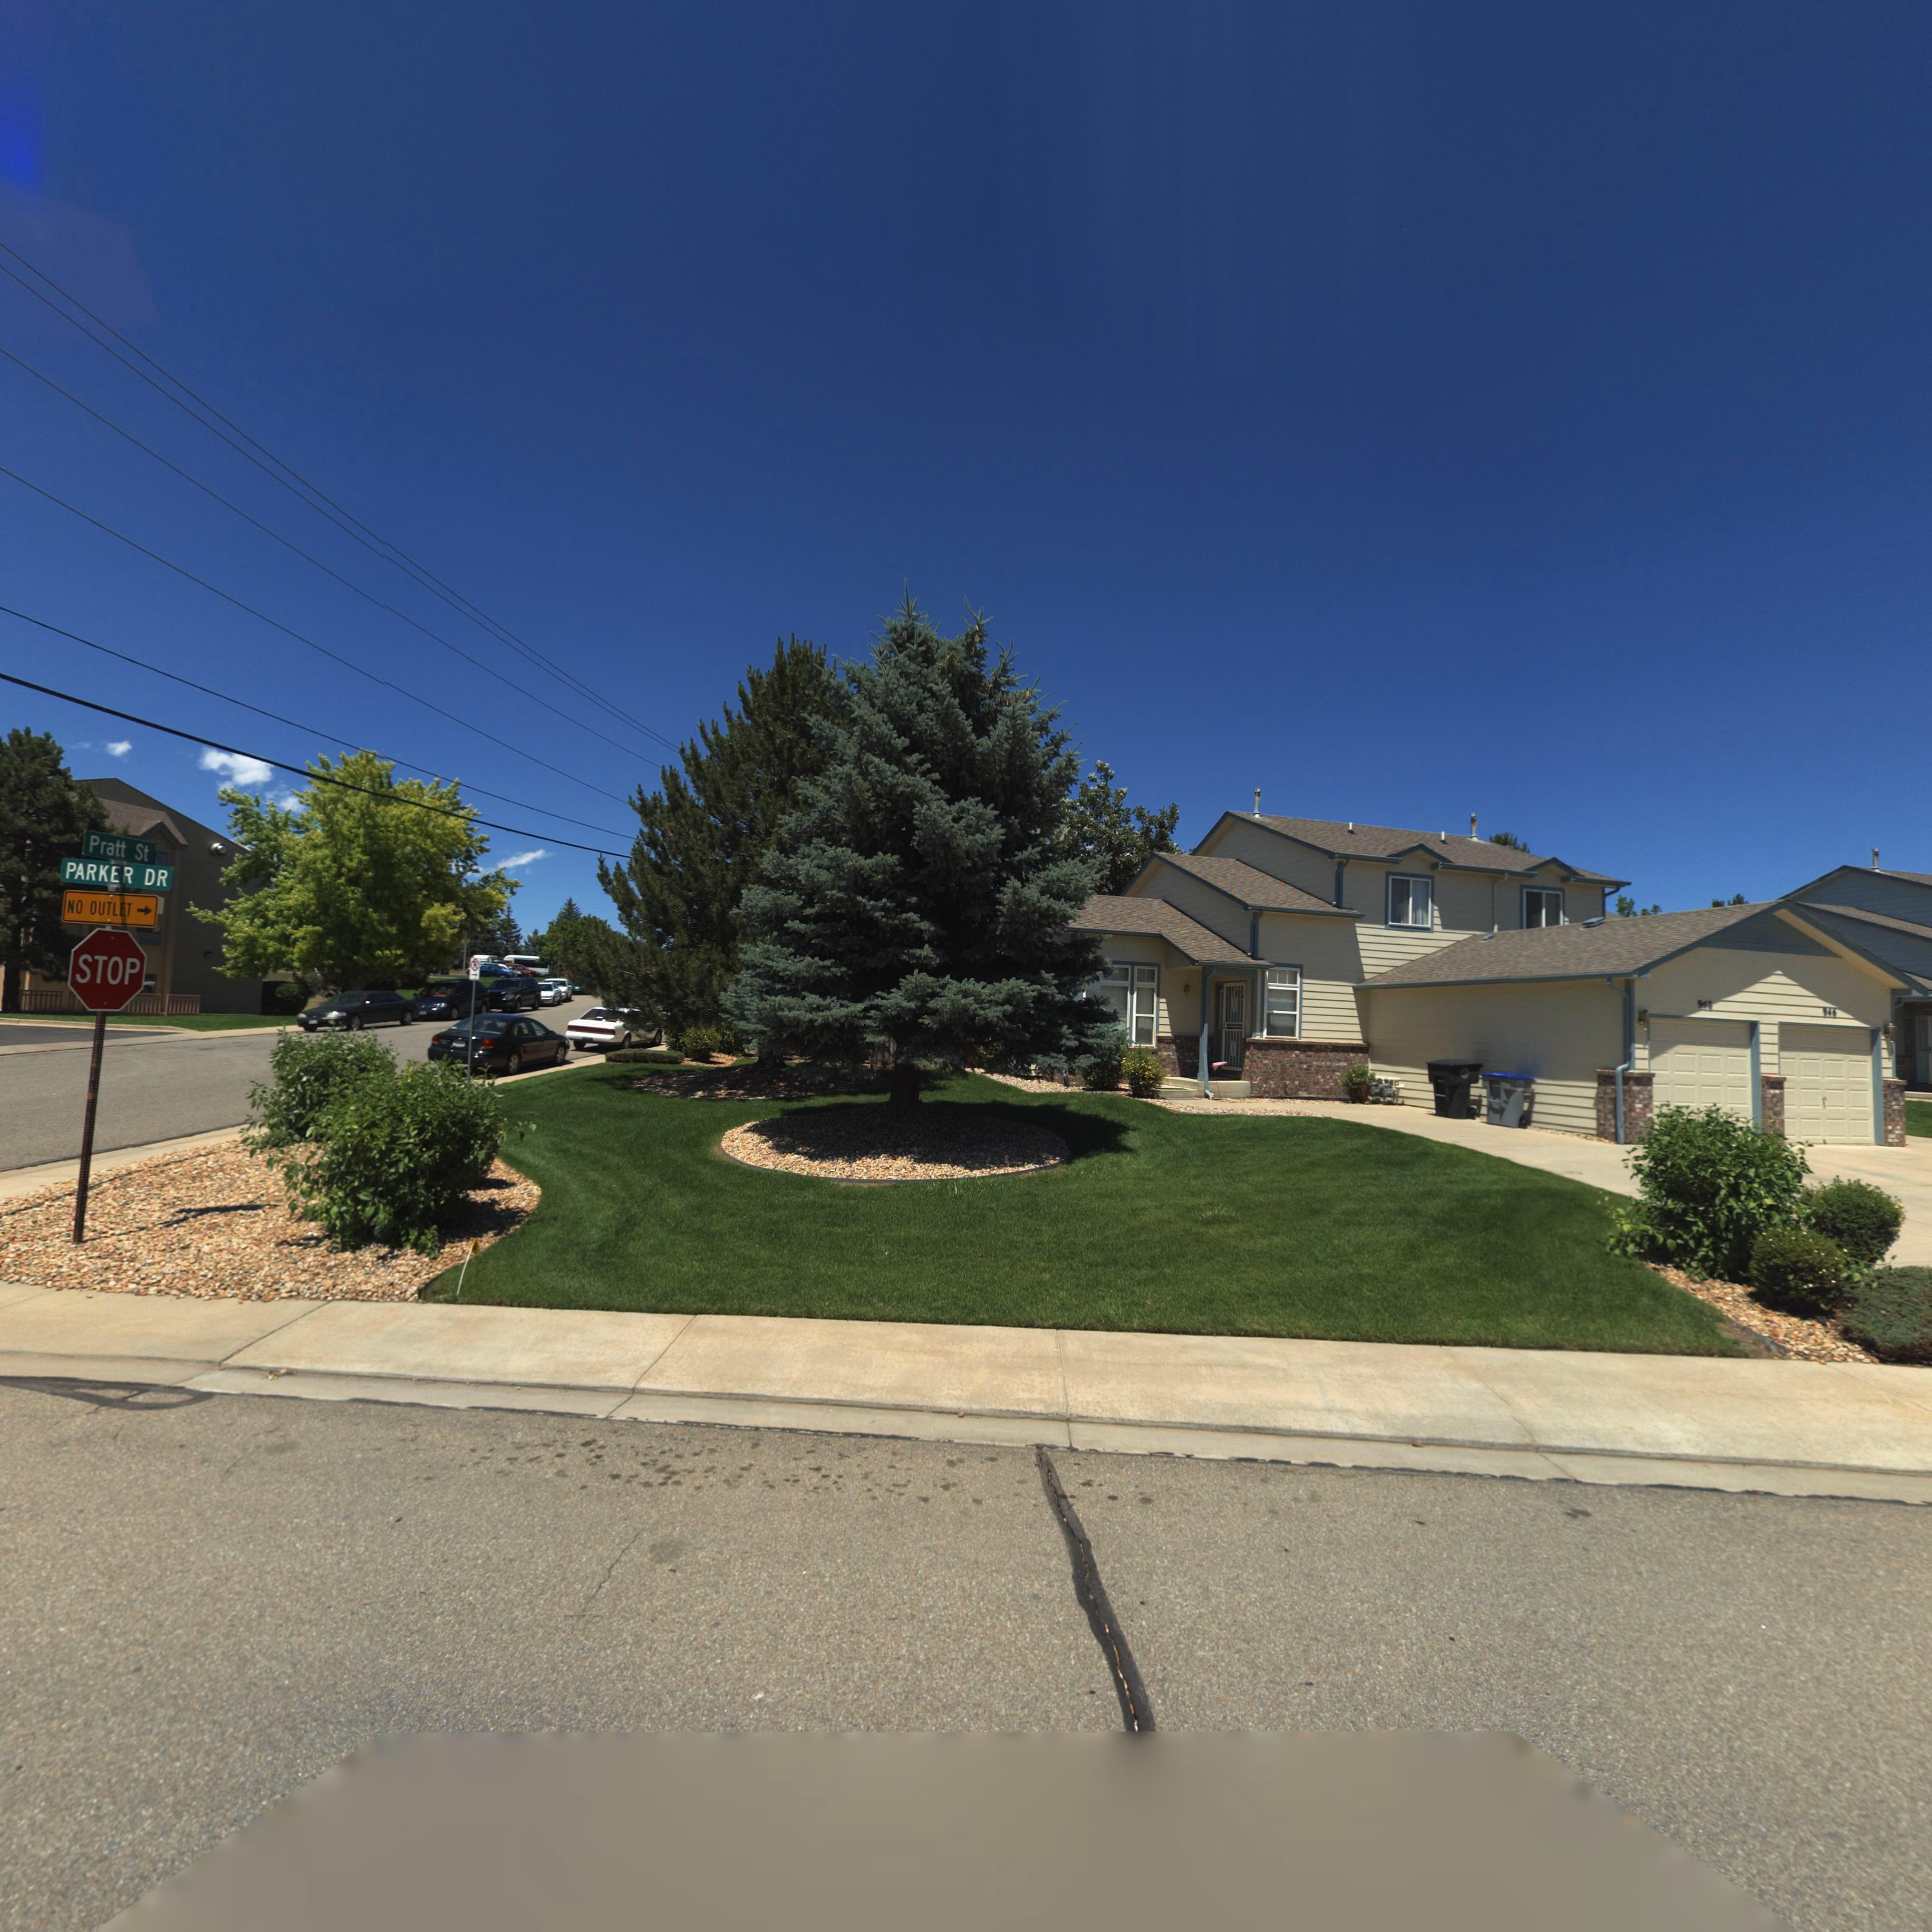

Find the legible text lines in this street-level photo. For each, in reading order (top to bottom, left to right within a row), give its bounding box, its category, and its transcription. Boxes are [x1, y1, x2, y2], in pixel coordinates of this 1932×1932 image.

[88, 834, 150, 862] StreetName: Pratt St
[66, 861, 168, 887] StreetName: PARKER DR
[1697, 998, 1712, 1009] StreetNumber: 943
[1822, 1007, 1837, 1017] StreetNumber: 945